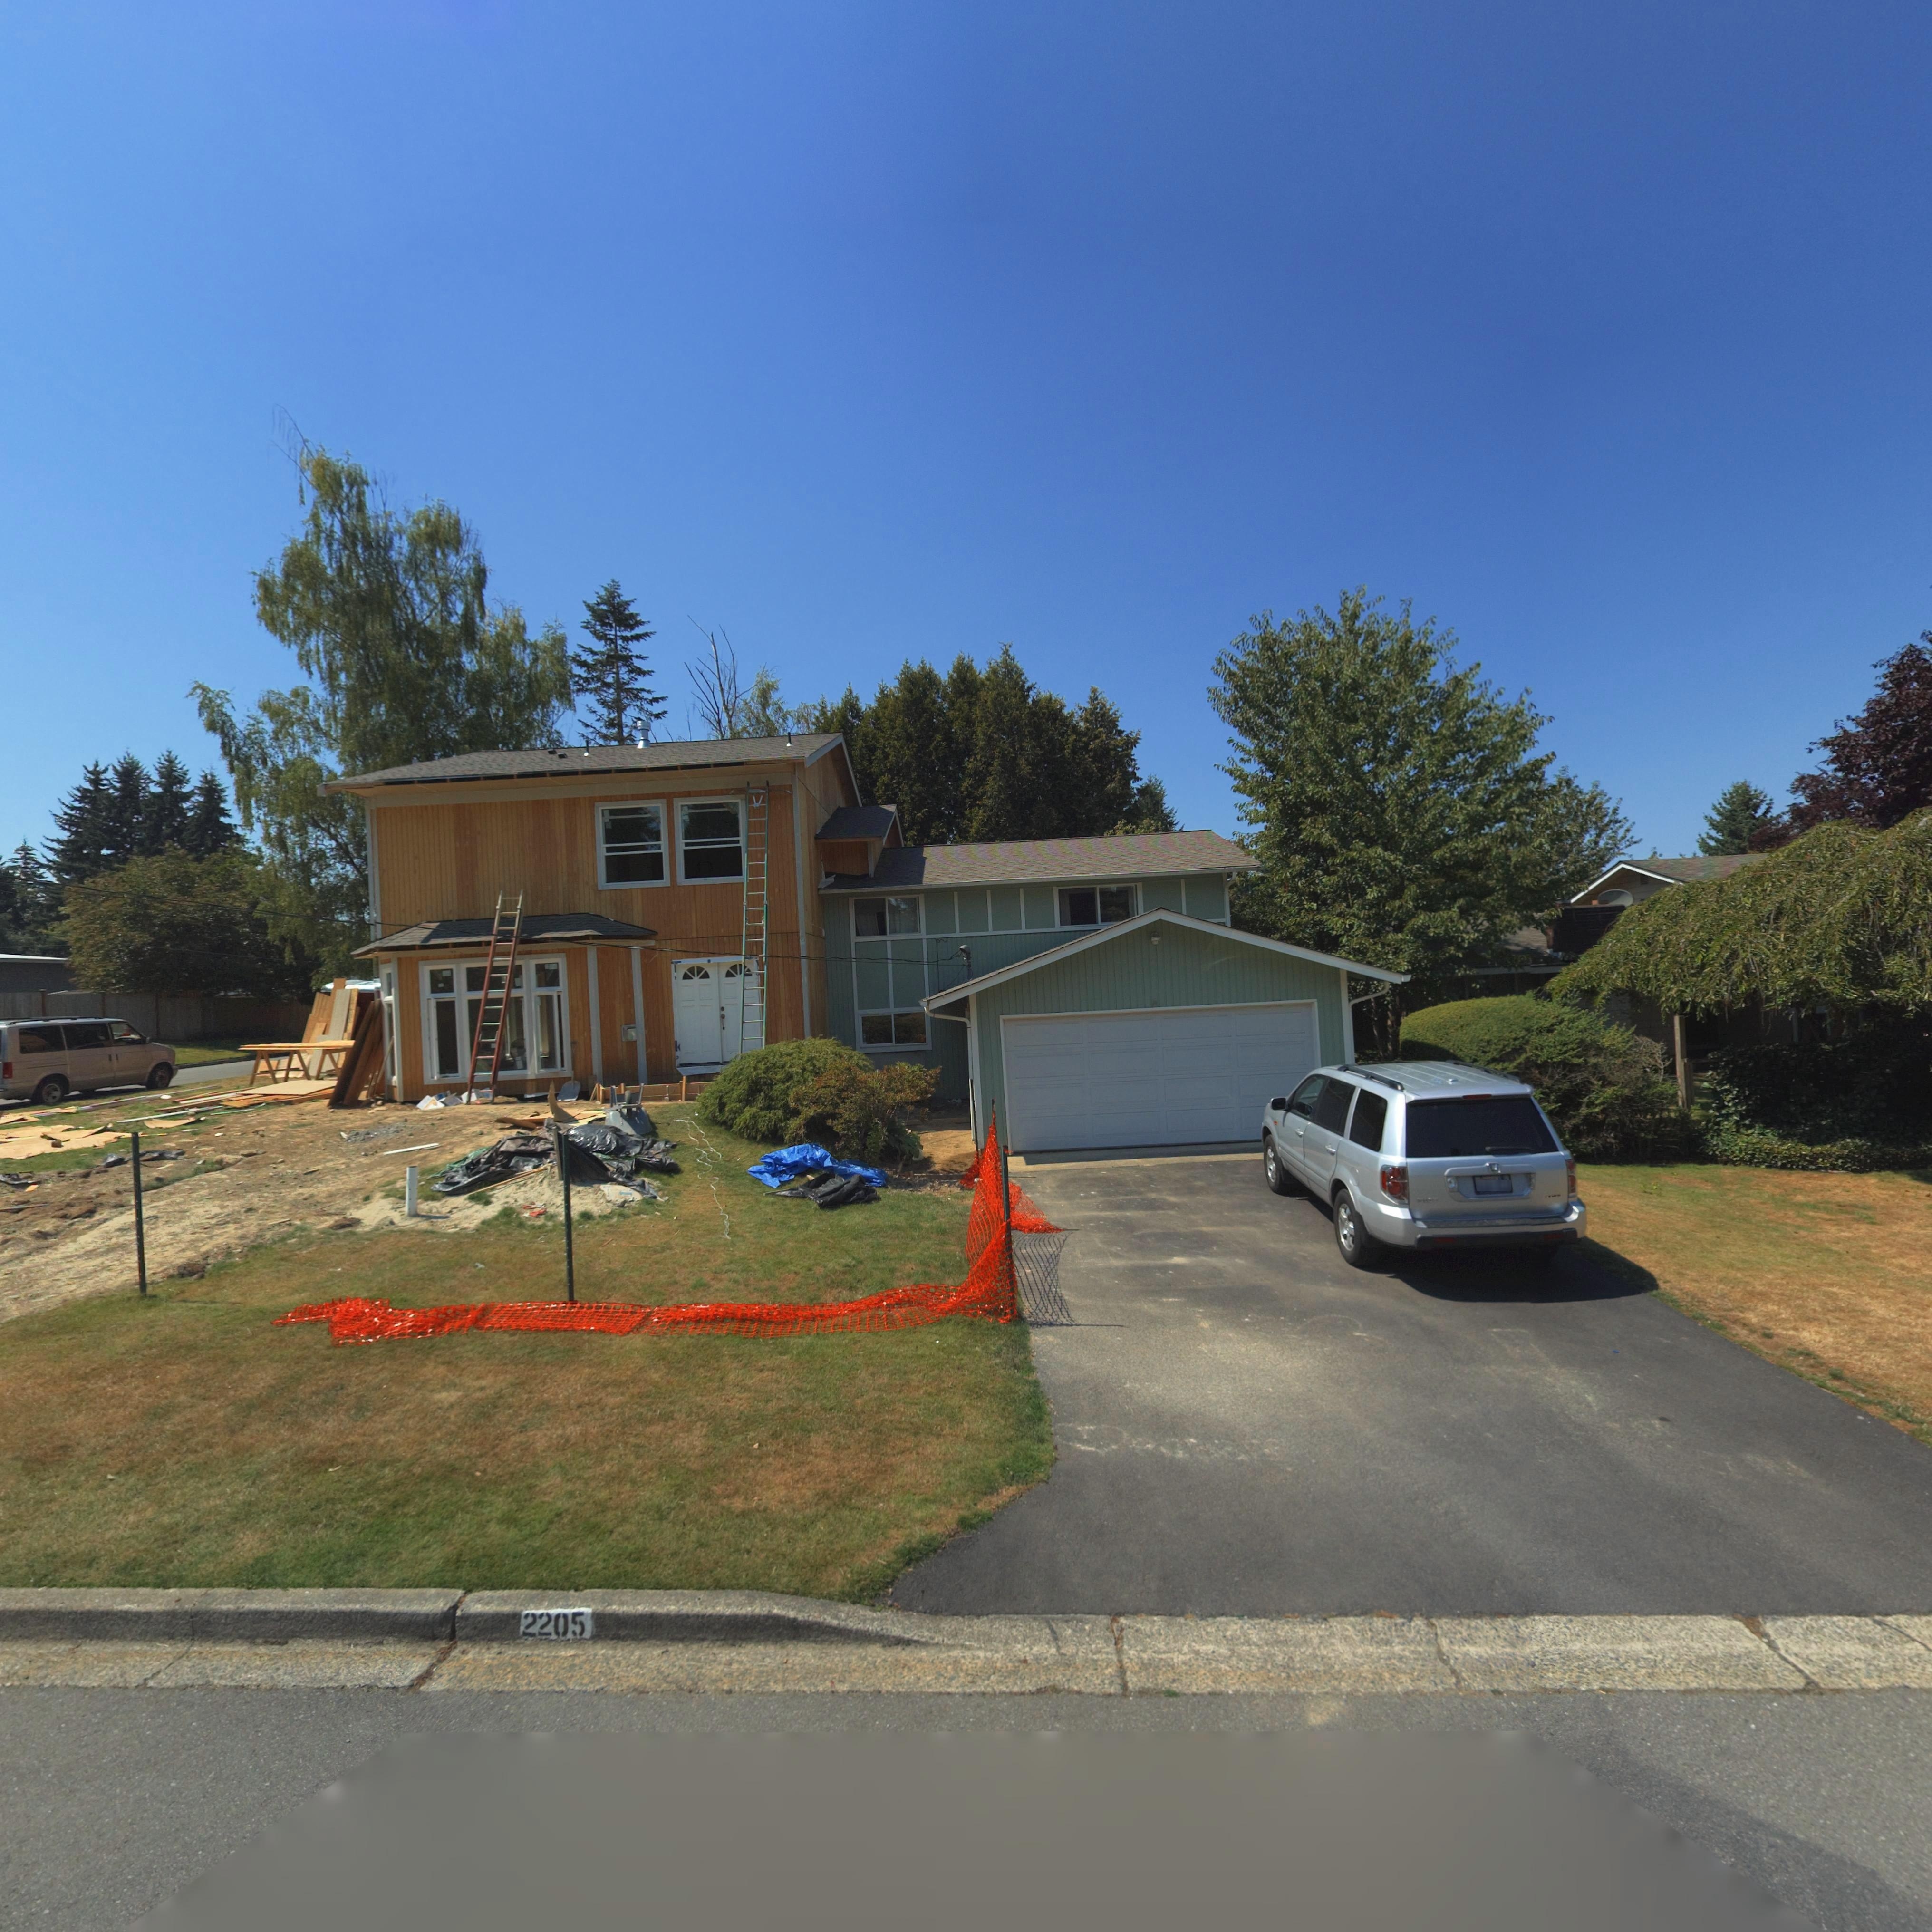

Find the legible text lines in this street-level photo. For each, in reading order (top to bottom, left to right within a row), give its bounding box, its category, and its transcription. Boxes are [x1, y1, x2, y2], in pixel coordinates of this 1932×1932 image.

[521, 1611, 586, 1637] StreetNumber: 2205